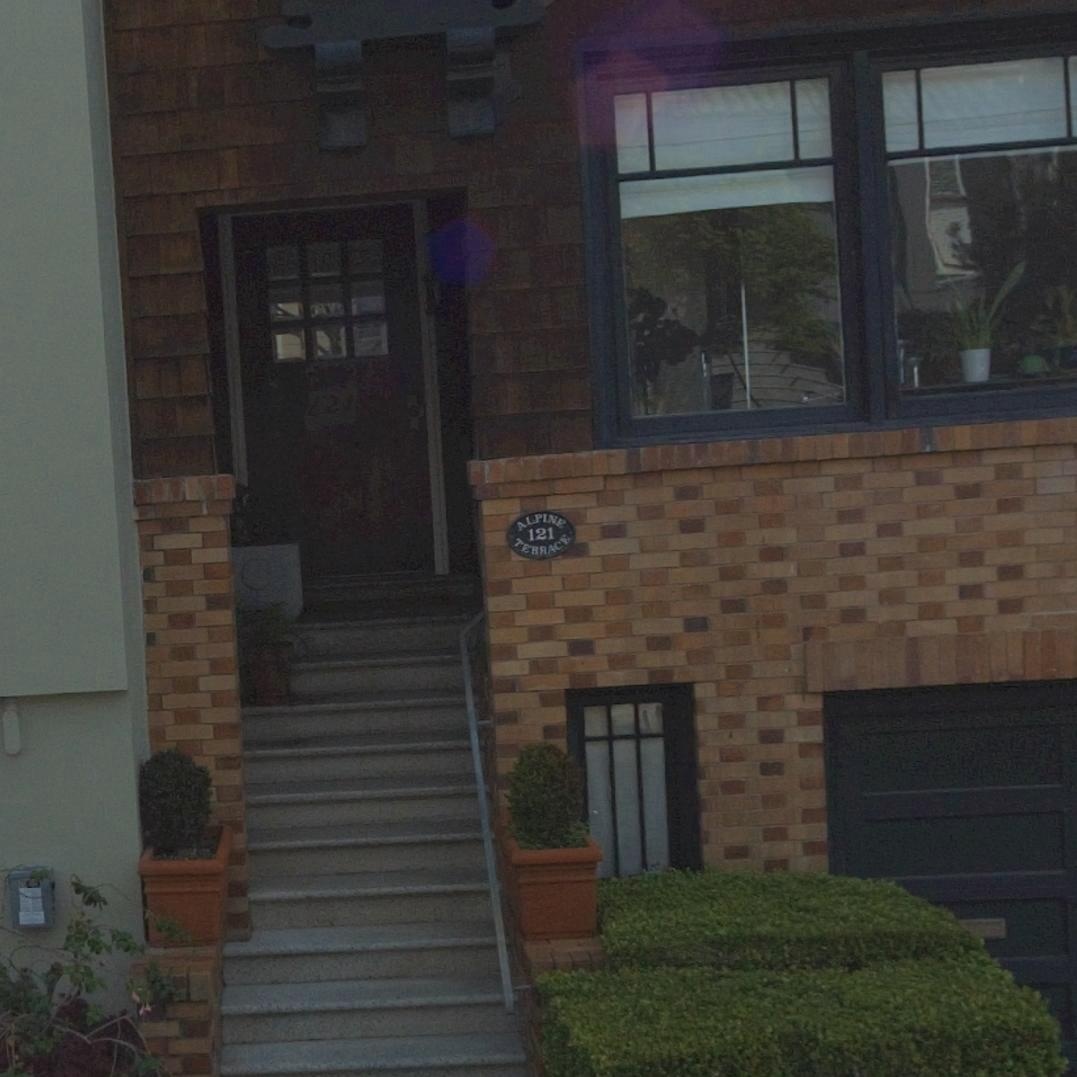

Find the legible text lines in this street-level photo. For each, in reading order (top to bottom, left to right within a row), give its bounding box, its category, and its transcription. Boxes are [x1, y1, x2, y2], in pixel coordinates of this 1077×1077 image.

[515, 512, 569, 533] None: ALPINE
[526, 526, 556, 543] StreetNumber: 121
[511, 532, 573, 557] None: TERRACE